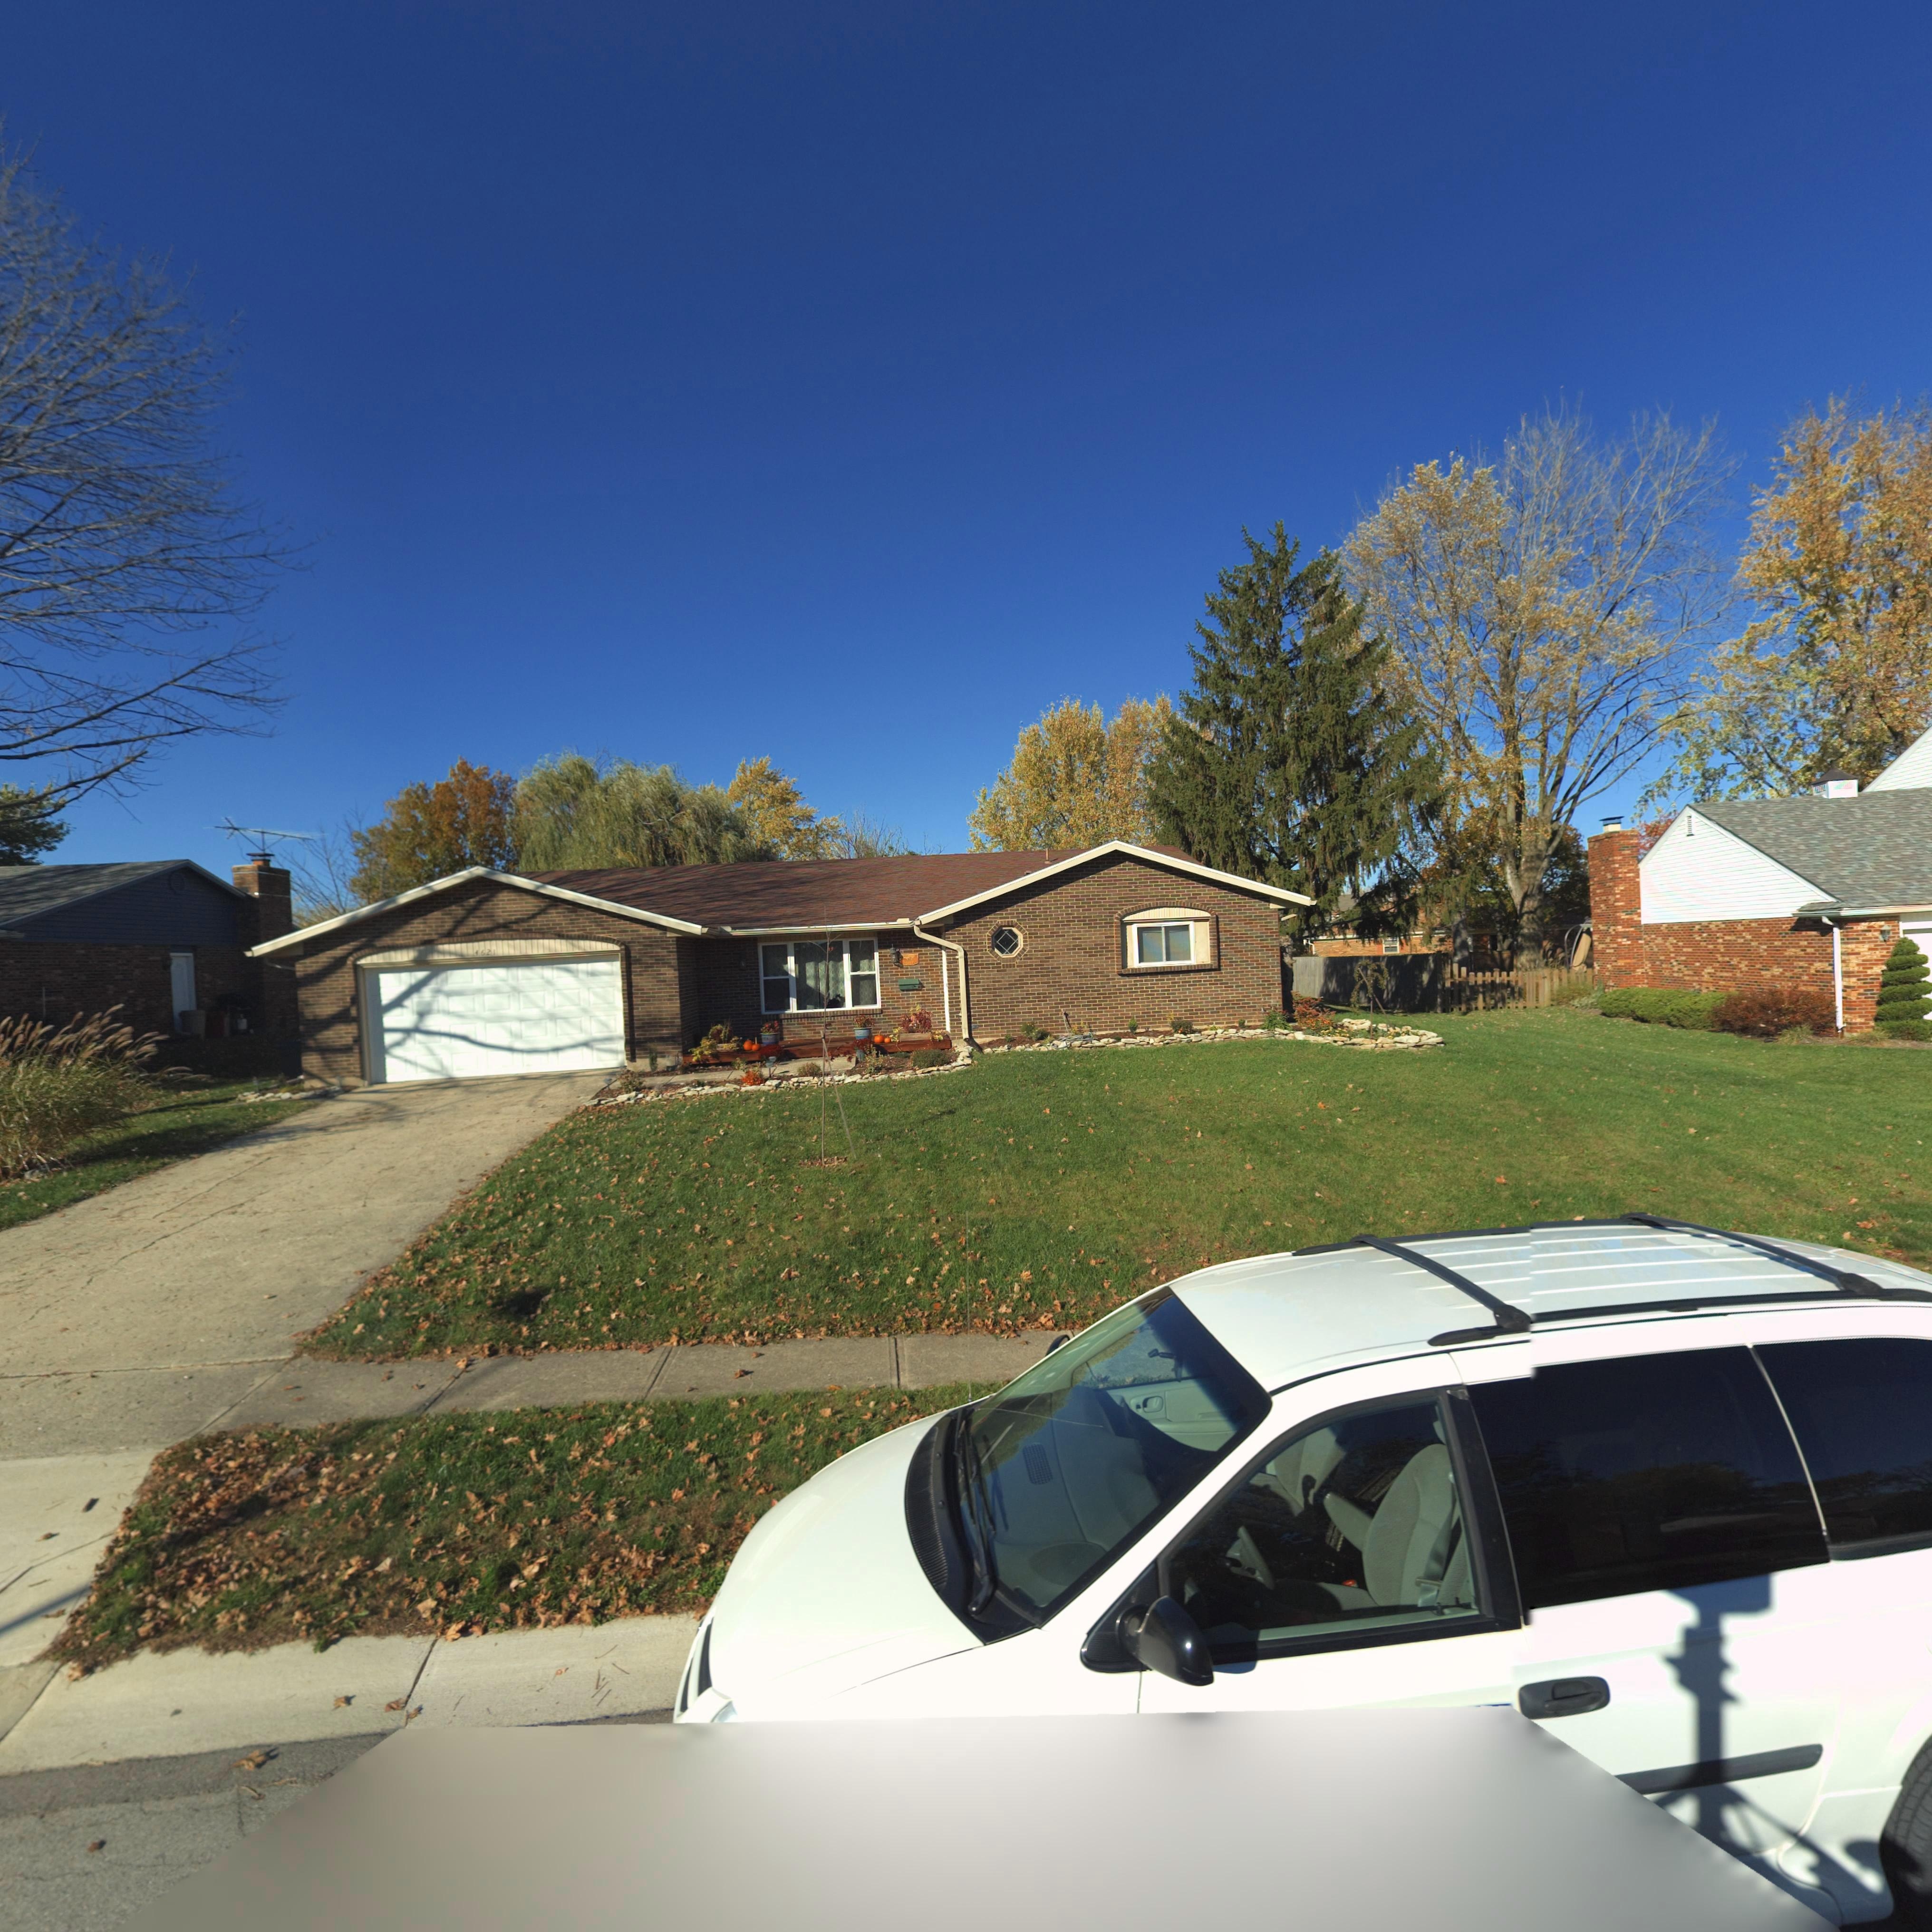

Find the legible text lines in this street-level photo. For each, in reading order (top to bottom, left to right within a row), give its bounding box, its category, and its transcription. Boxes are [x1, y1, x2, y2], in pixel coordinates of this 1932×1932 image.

[474, 948, 496, 956] StreetNumber: 4621